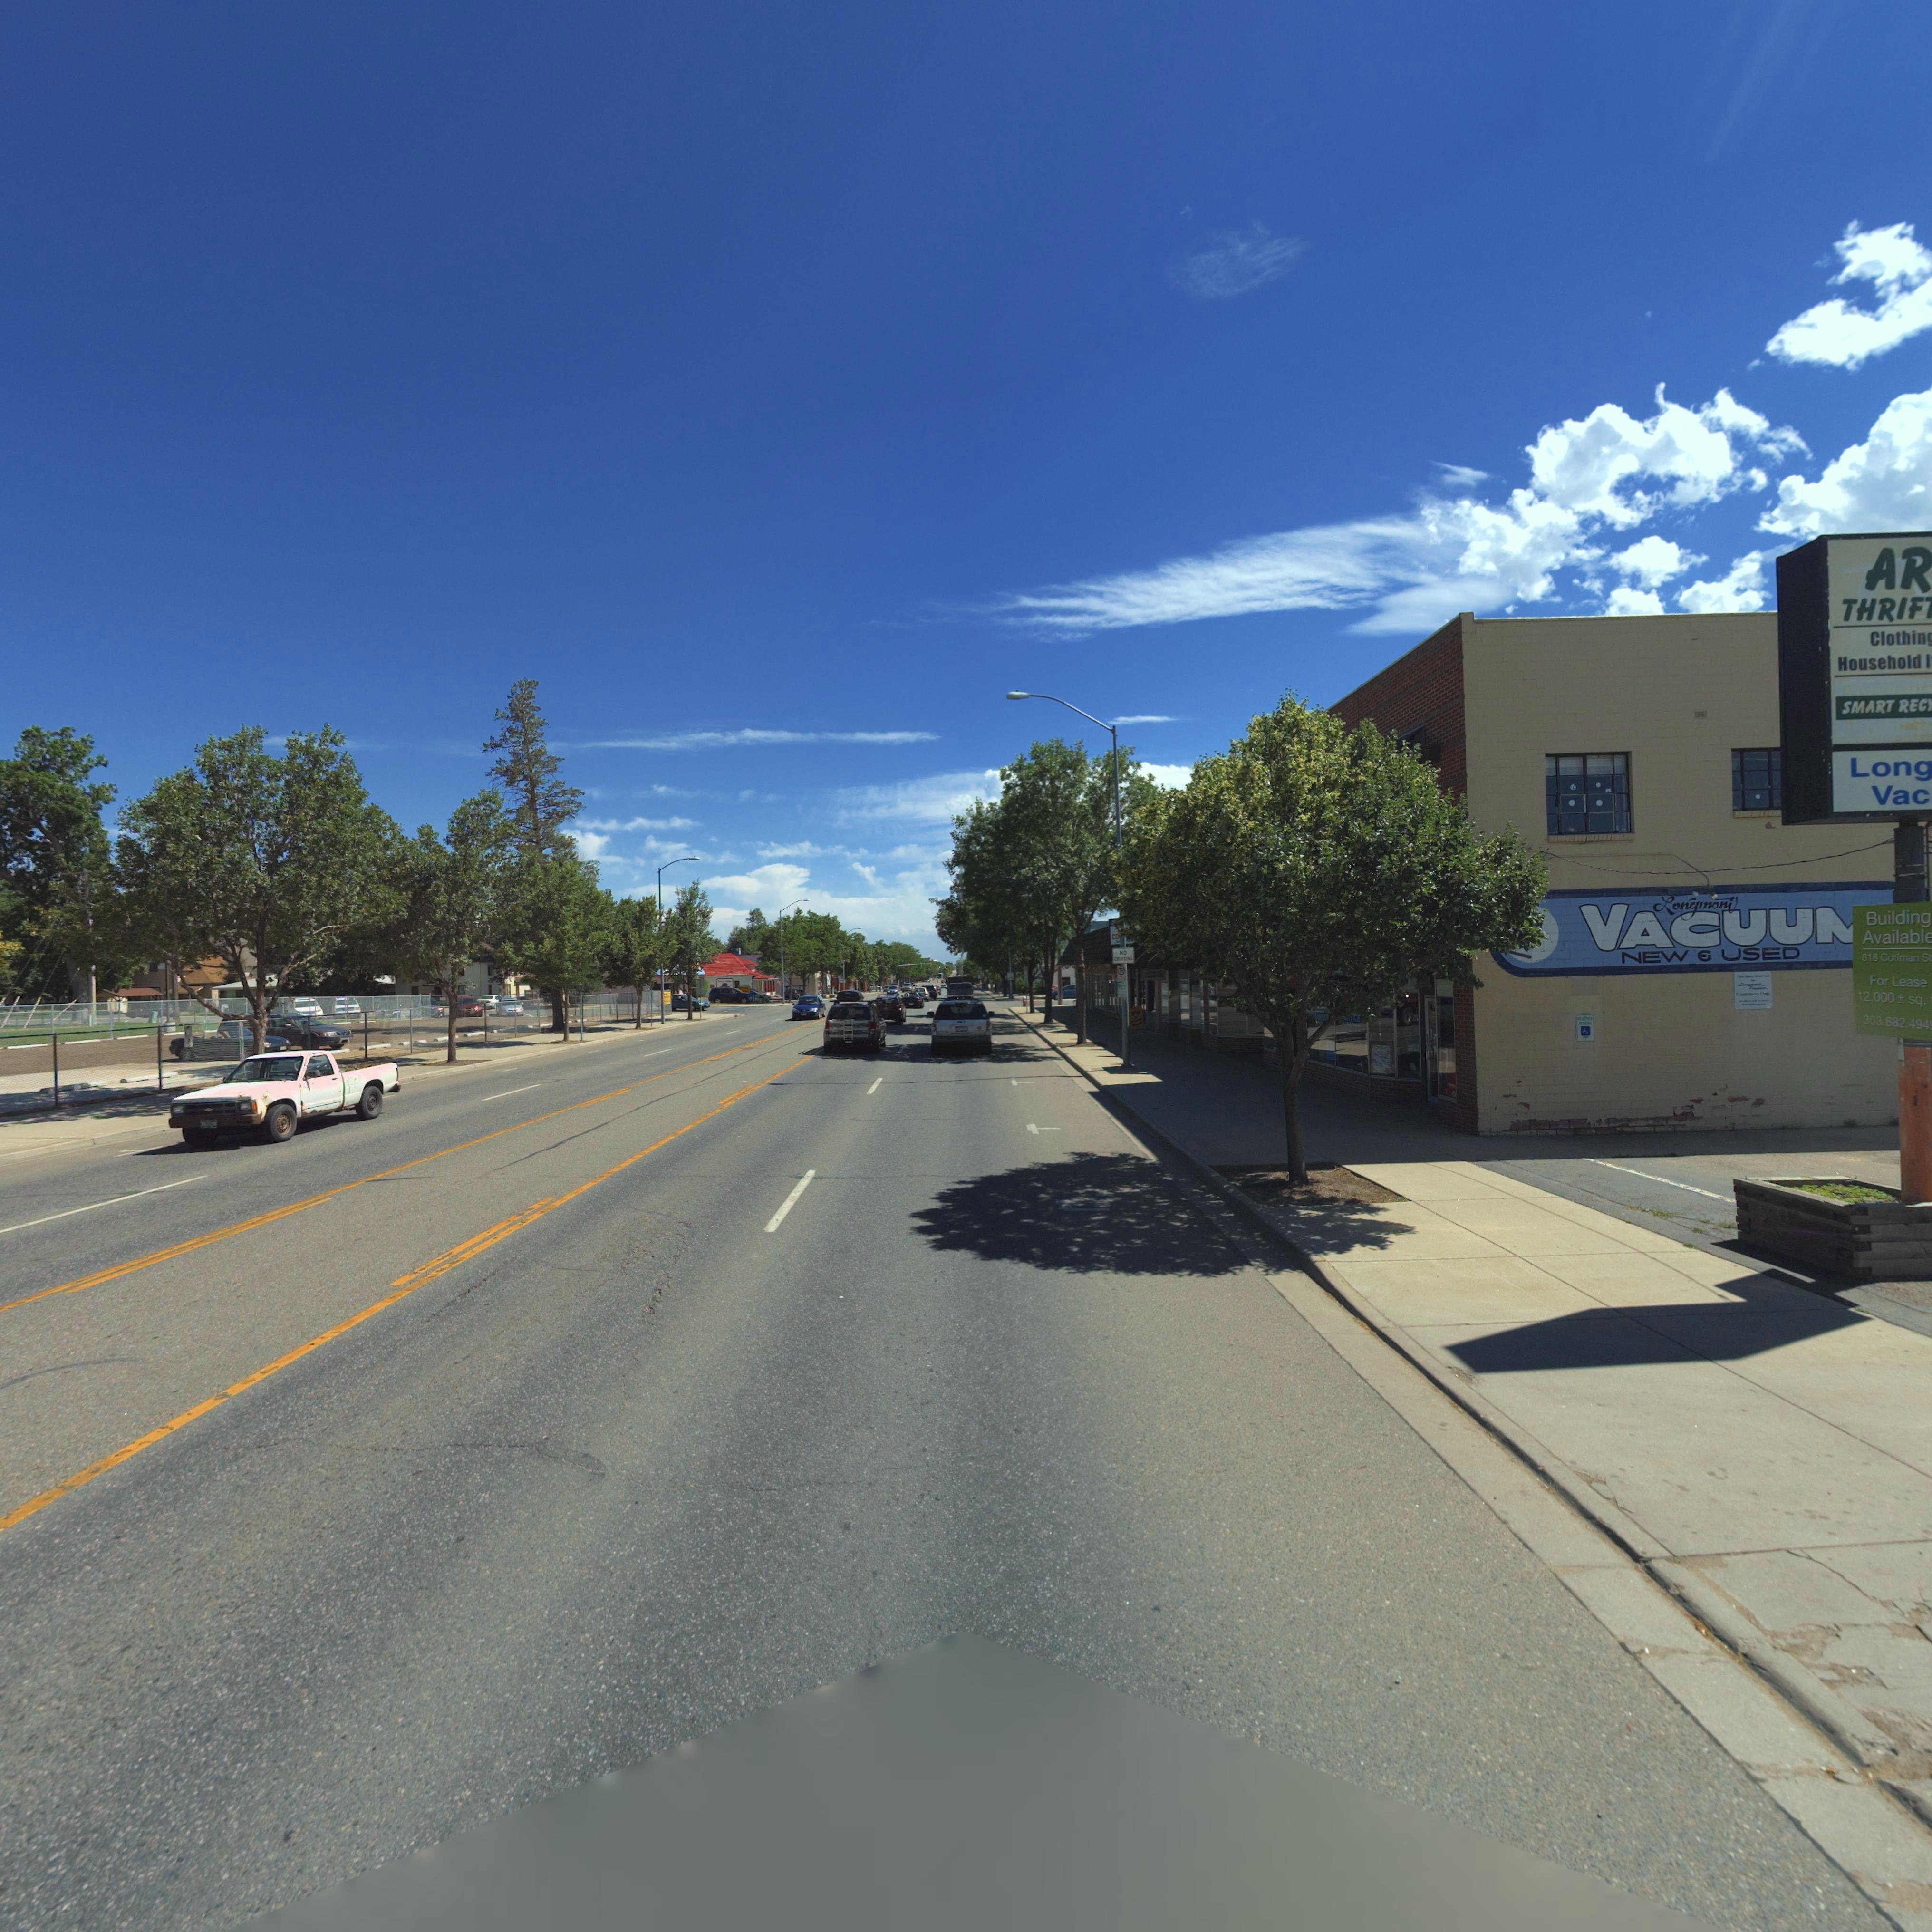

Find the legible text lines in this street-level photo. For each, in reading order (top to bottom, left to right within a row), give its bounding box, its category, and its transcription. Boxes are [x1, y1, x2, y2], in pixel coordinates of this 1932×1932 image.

[1864, 546, 1896, 592] BusinessName: A
[1841, 596, 1925, 623] BusinessName: THRIF
[1841, 698, 1928, 715] BusinessName: SMART REC
[1849, 757, 1912, 778] BusinessName: Lon
[1870, 784, 1931, 805] BusinessName: Vac
[1651, 895, 1736, 921] BusinessName: Longmont
[1111, 933, 1120, 940] None: x*
[1577, 902, 1815, 953] BusinessName: VACUU
[1861, 953, 1879, 962] StreetNumber: 818
[1880, 952, 1930, 963] StreetName: Coffman S